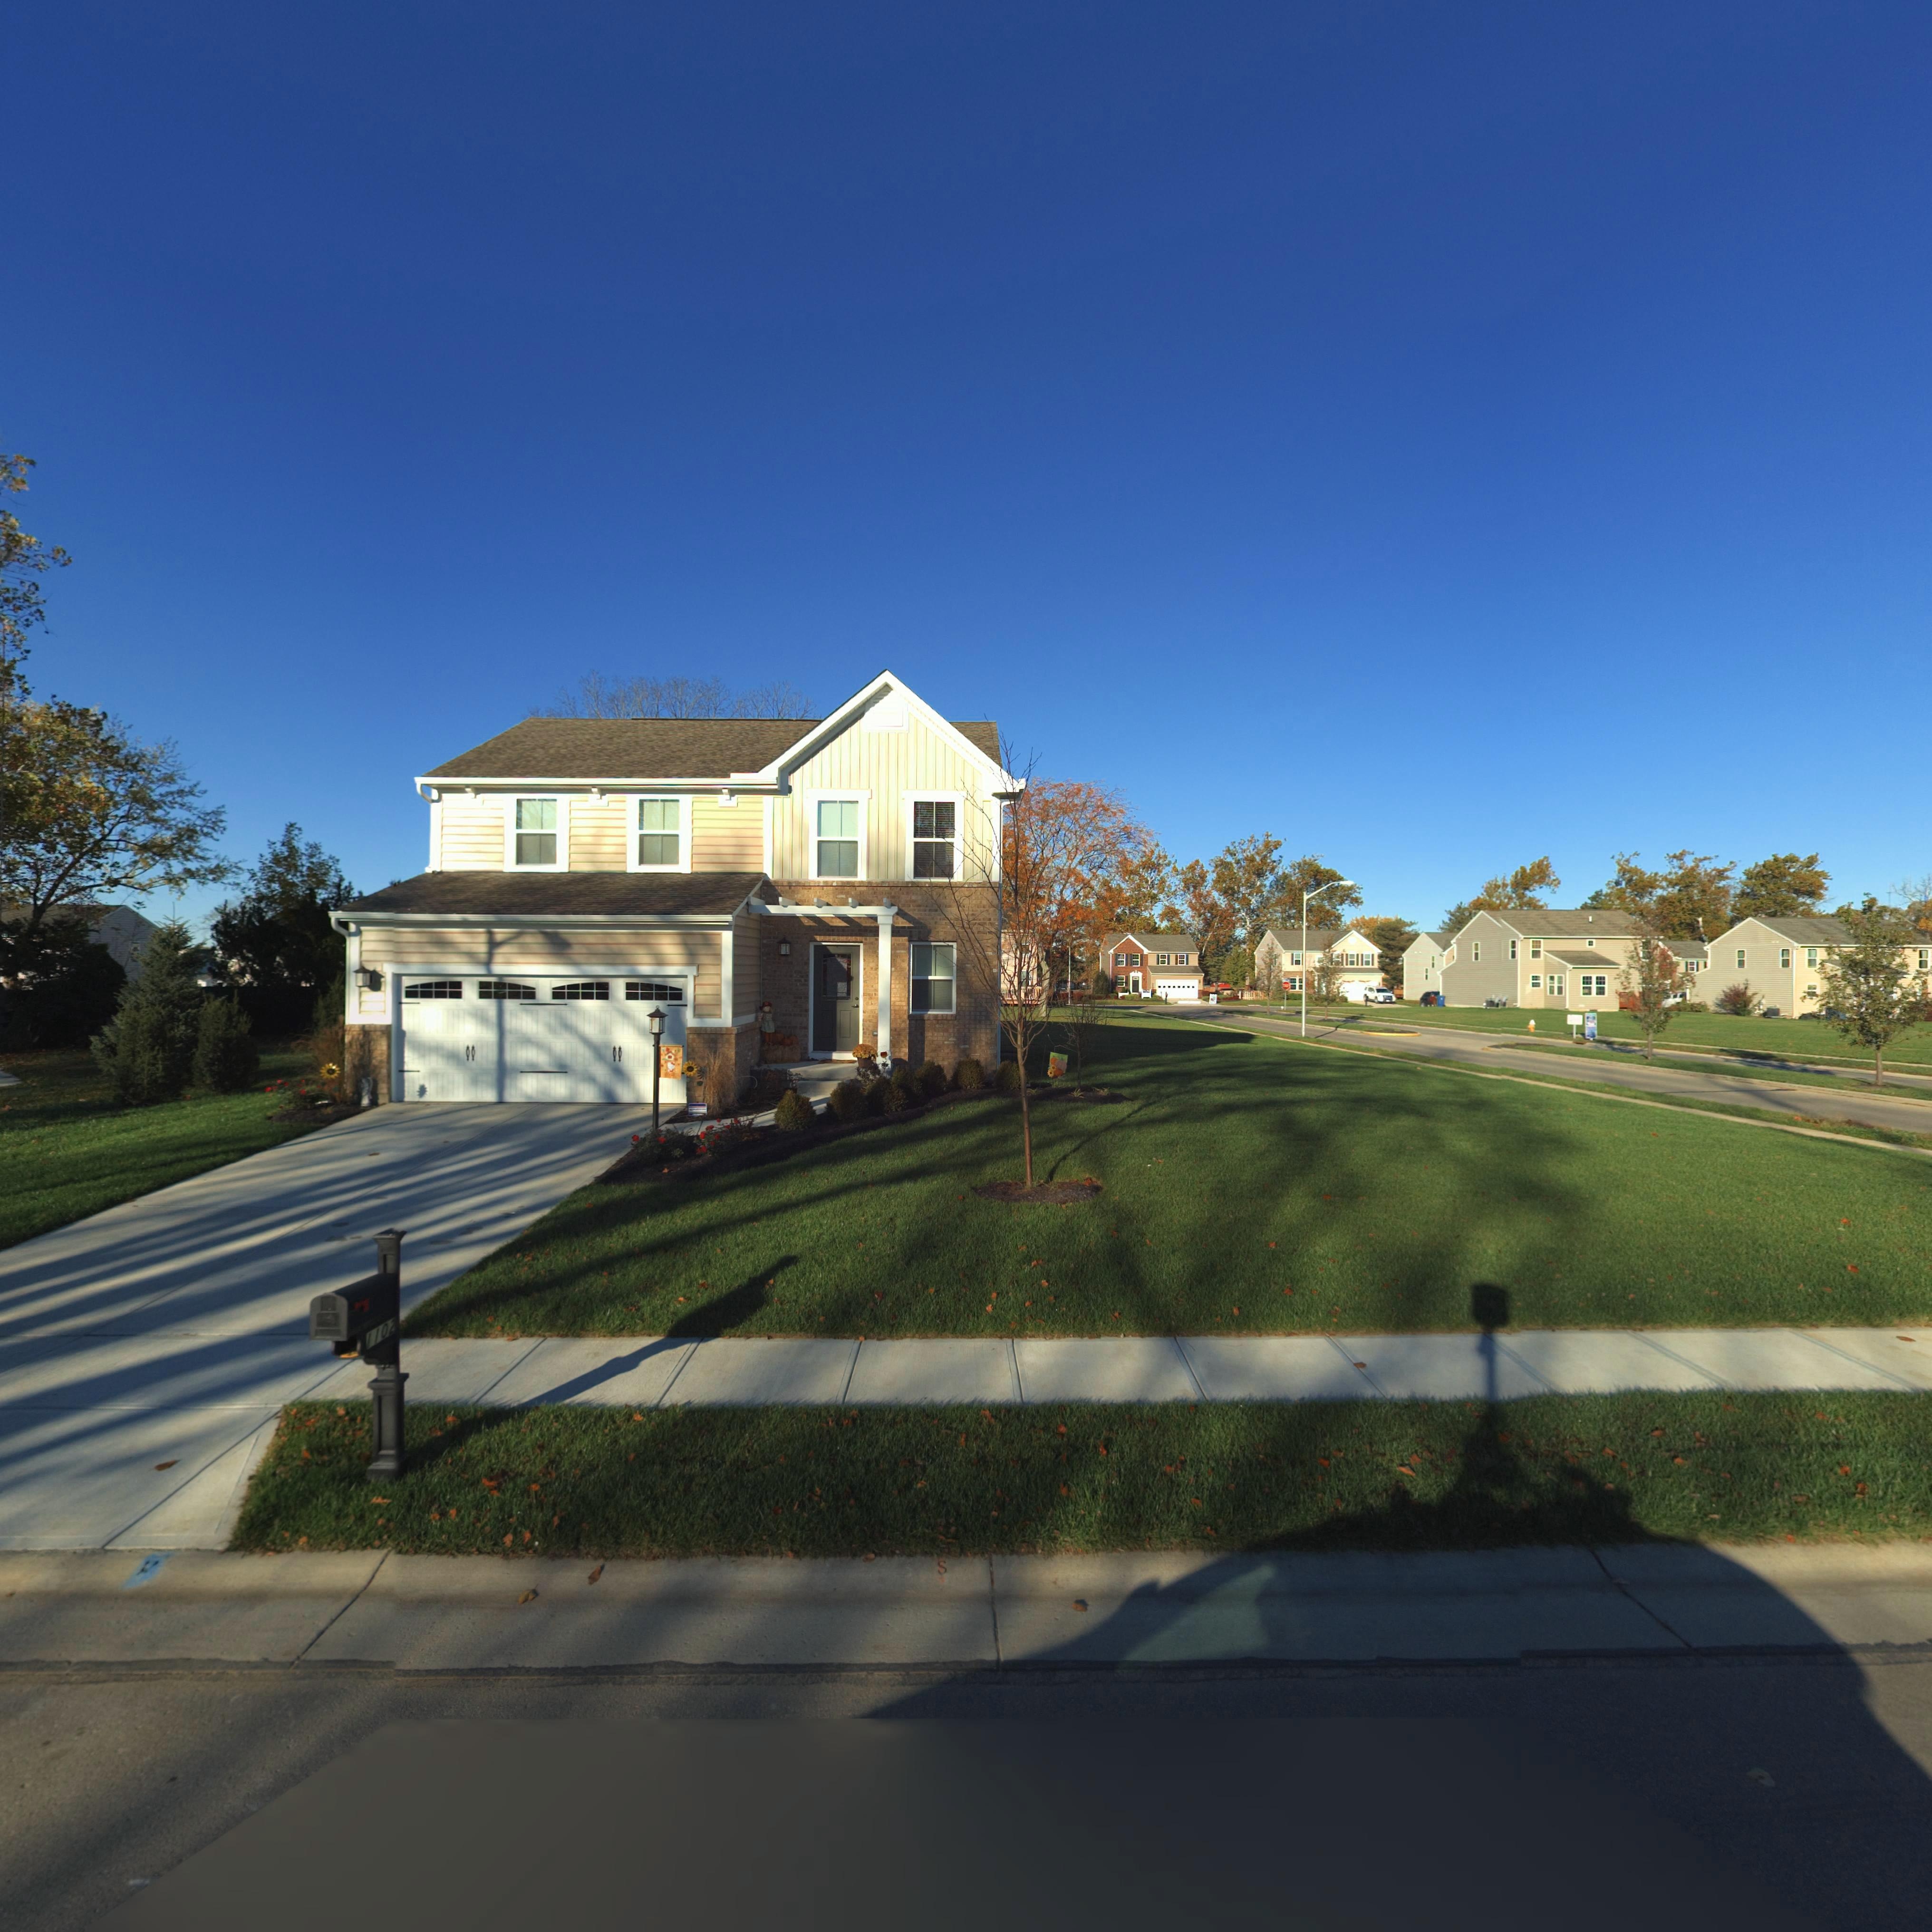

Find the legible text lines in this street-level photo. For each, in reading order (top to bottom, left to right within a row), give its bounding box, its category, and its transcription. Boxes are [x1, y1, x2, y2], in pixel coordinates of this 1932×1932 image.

[366, 1316, 396, 1350] StreetNumber: 1102